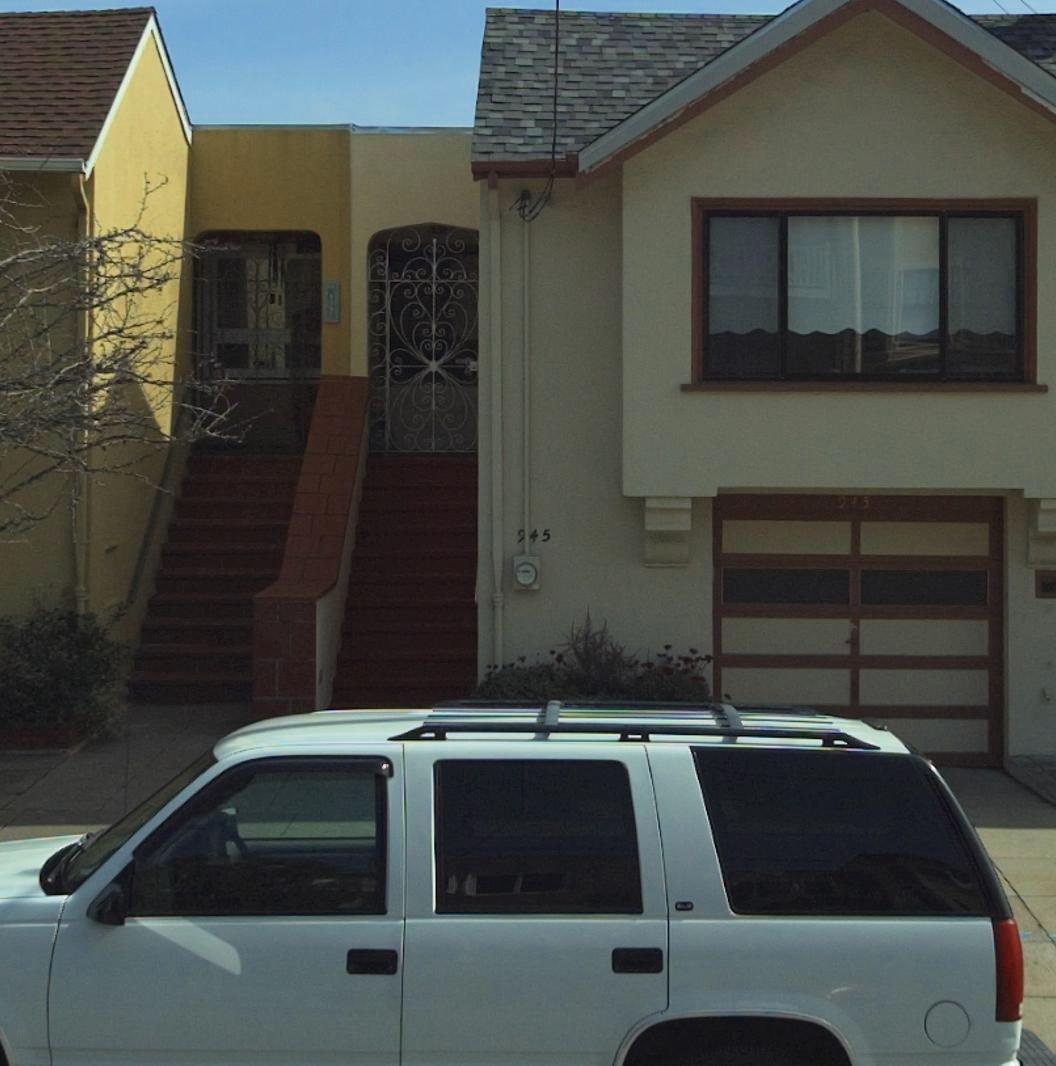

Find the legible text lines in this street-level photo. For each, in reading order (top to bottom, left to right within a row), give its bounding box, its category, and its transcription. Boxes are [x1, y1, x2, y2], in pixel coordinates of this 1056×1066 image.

[835, 494, 871, 510] StreetNumber: 945
[517, 527, 552, 545] StreetNumber: 9*45